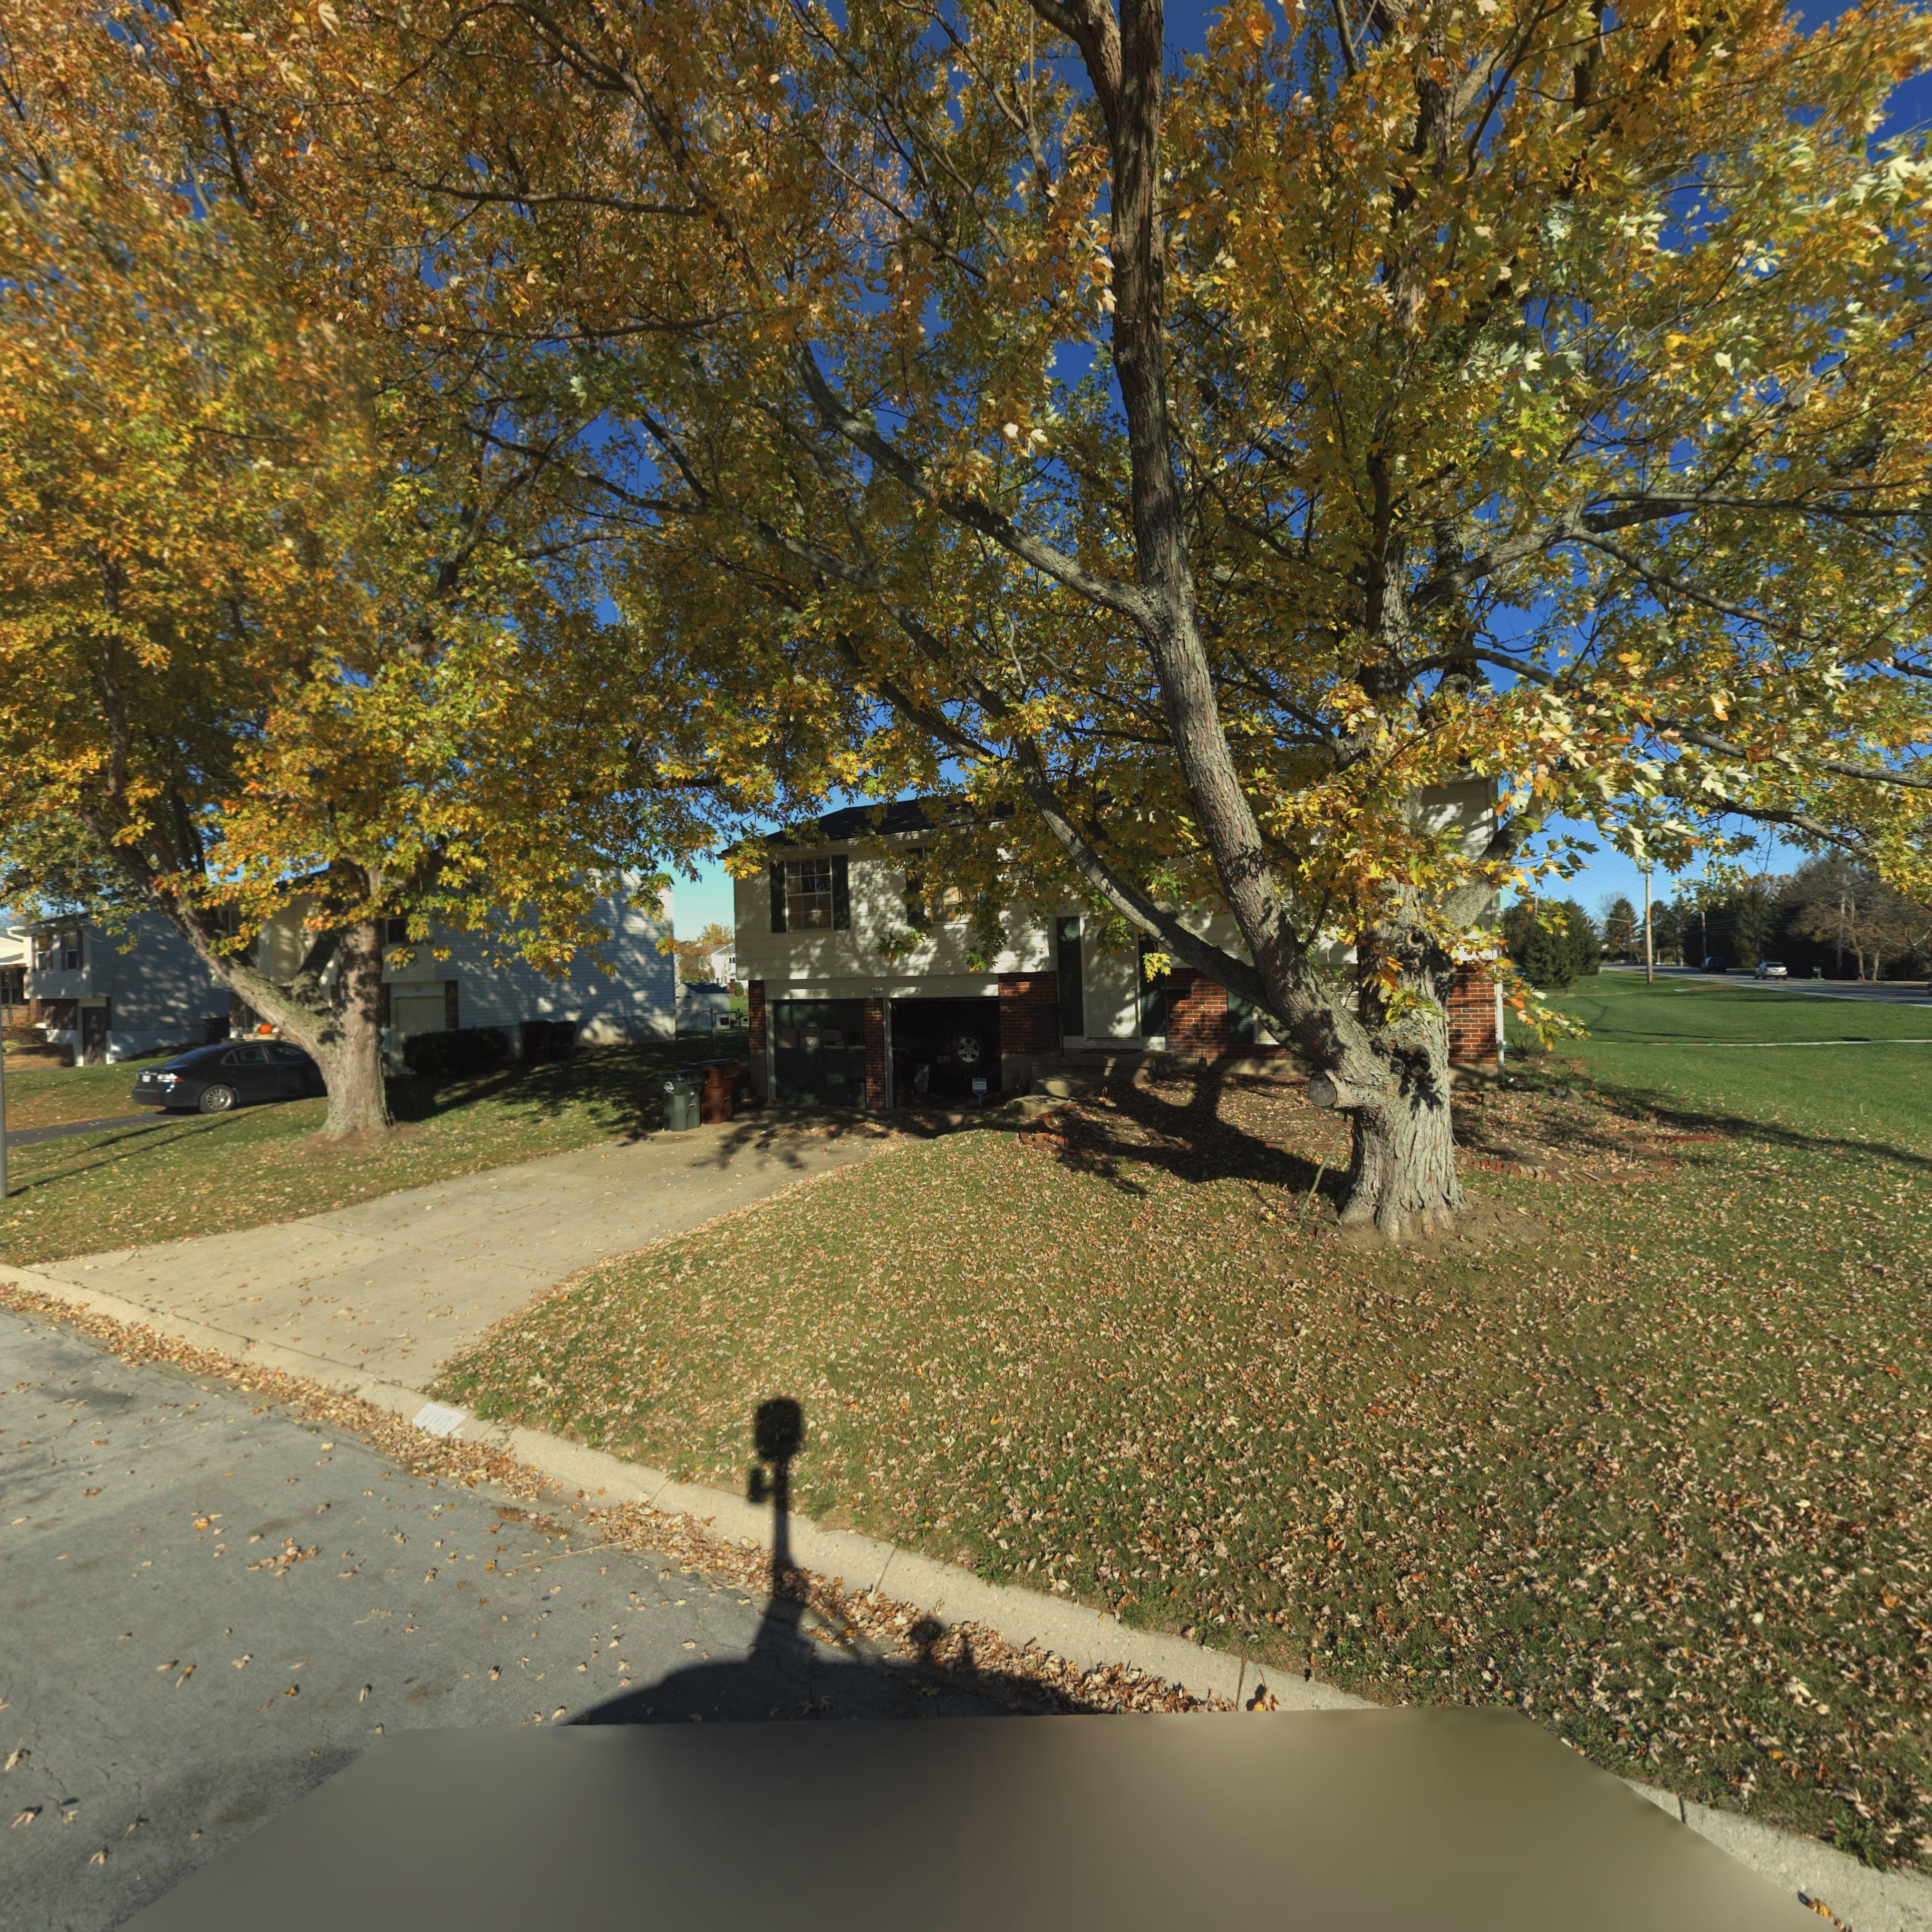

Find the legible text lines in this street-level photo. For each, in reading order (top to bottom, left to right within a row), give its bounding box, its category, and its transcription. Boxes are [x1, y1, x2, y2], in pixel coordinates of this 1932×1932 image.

[869, 987, 880, 994] StreetNumber: 100
[418, 1409, 453, 1431] StreetNumber: 100